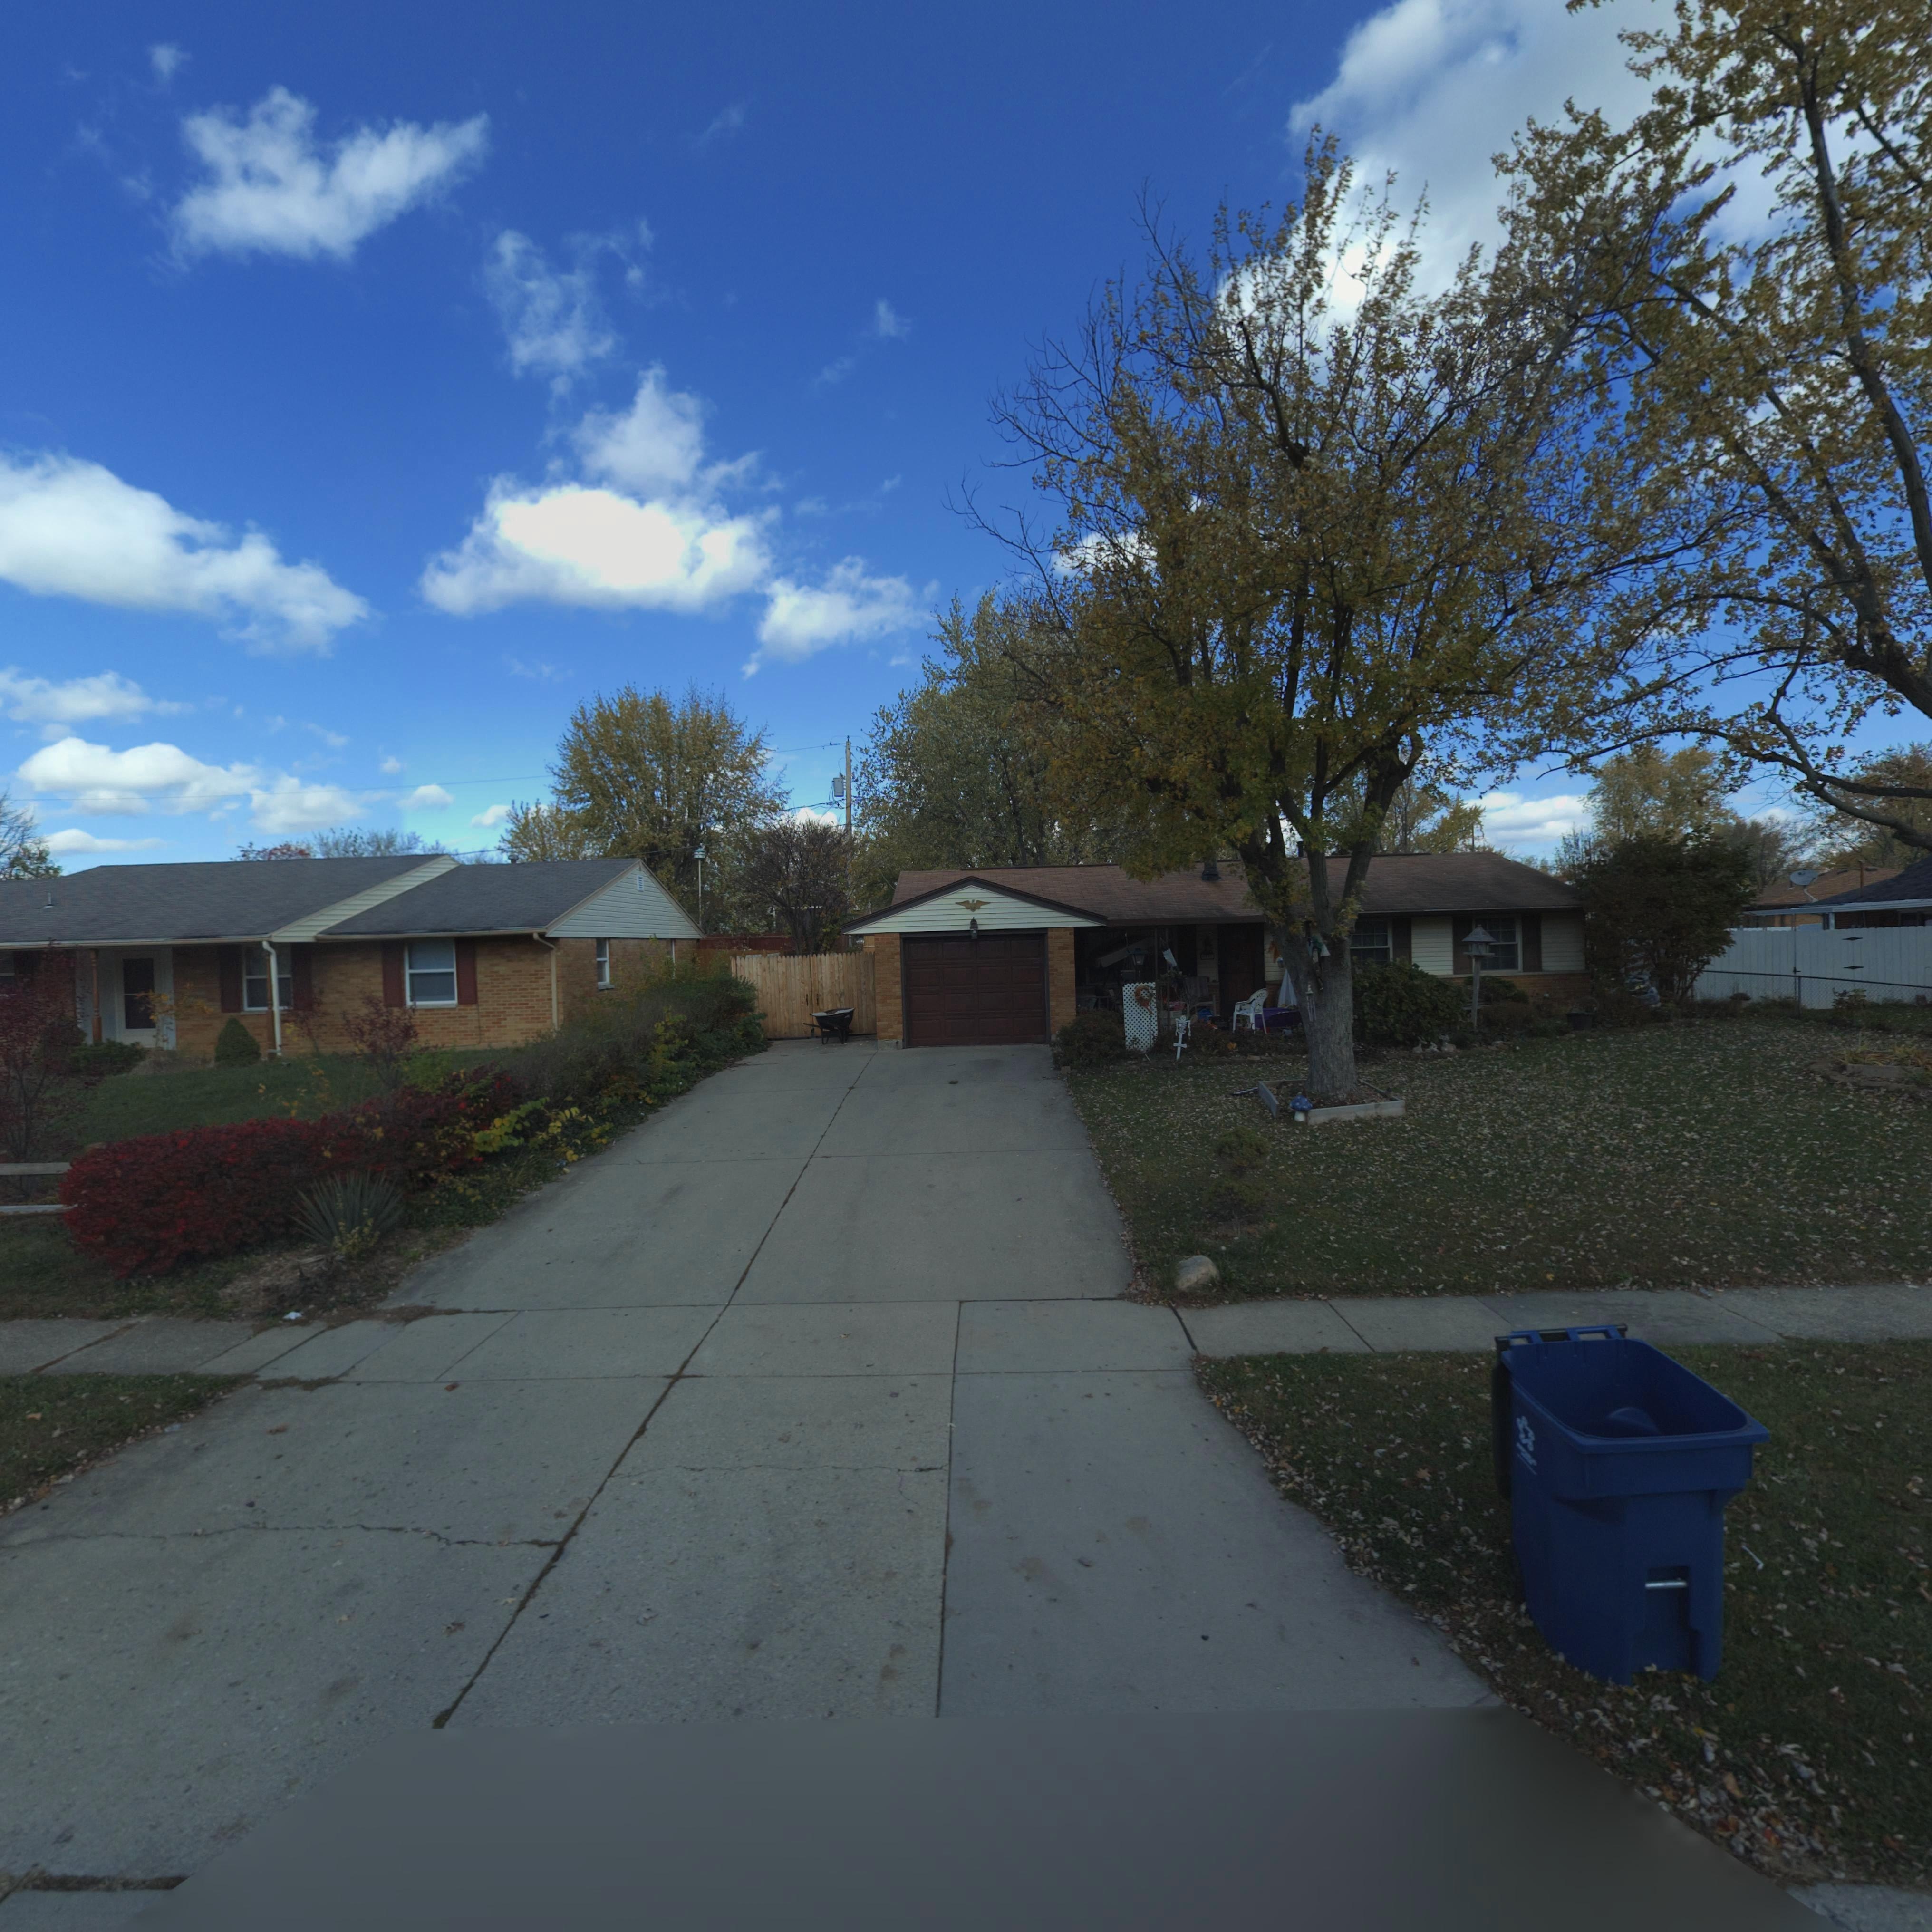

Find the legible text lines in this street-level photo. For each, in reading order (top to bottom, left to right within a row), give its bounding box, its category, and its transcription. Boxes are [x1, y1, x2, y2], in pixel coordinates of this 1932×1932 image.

[1202, 953, 1213, 959] StreetNumber: 6**1